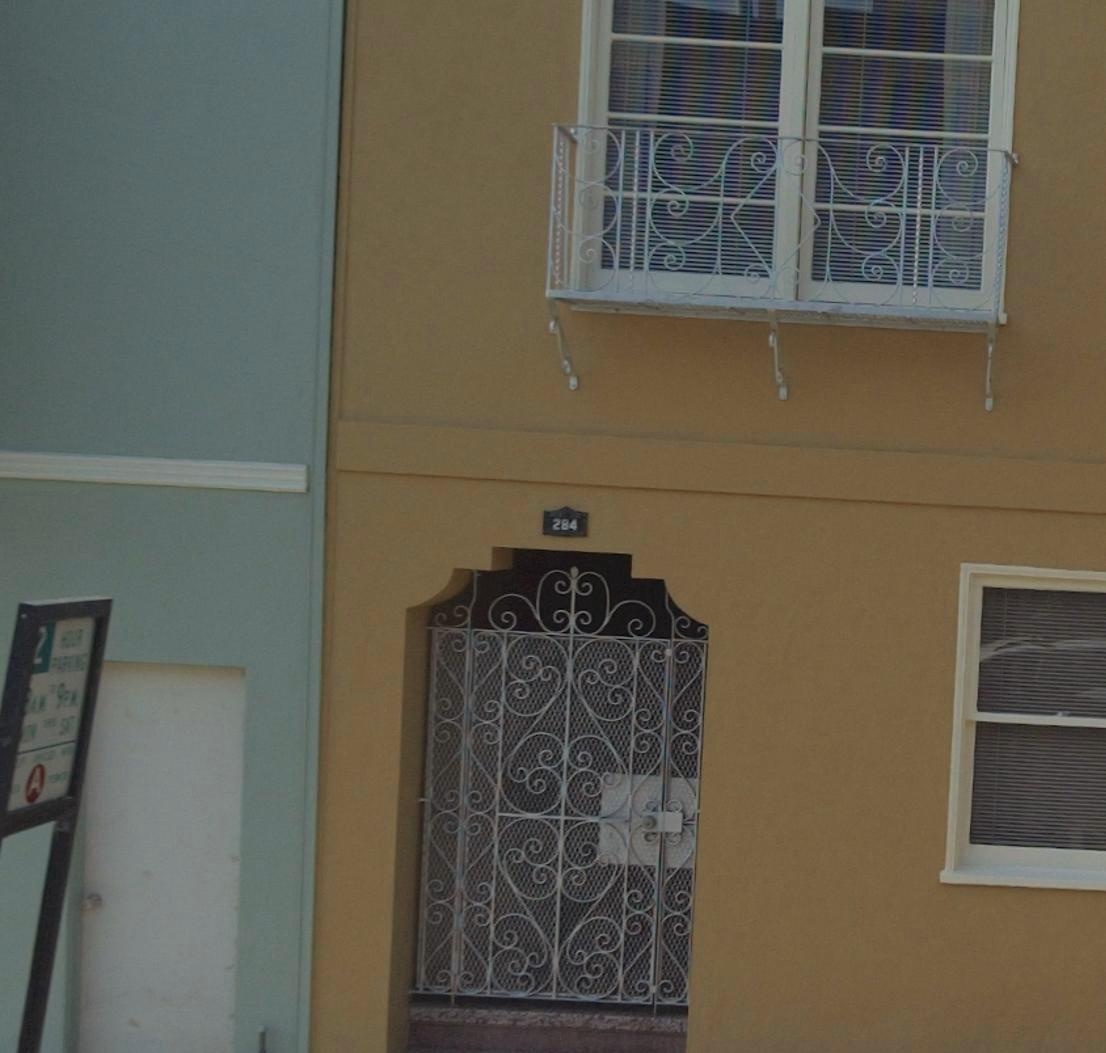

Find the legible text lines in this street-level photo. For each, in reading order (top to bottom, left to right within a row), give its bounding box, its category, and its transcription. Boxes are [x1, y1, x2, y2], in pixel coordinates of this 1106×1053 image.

[551, 516, 579, 533] StreetNumber: 284
[54, 679, 81, 711] None: 9PM
[23, 765, 44, 797] None: A